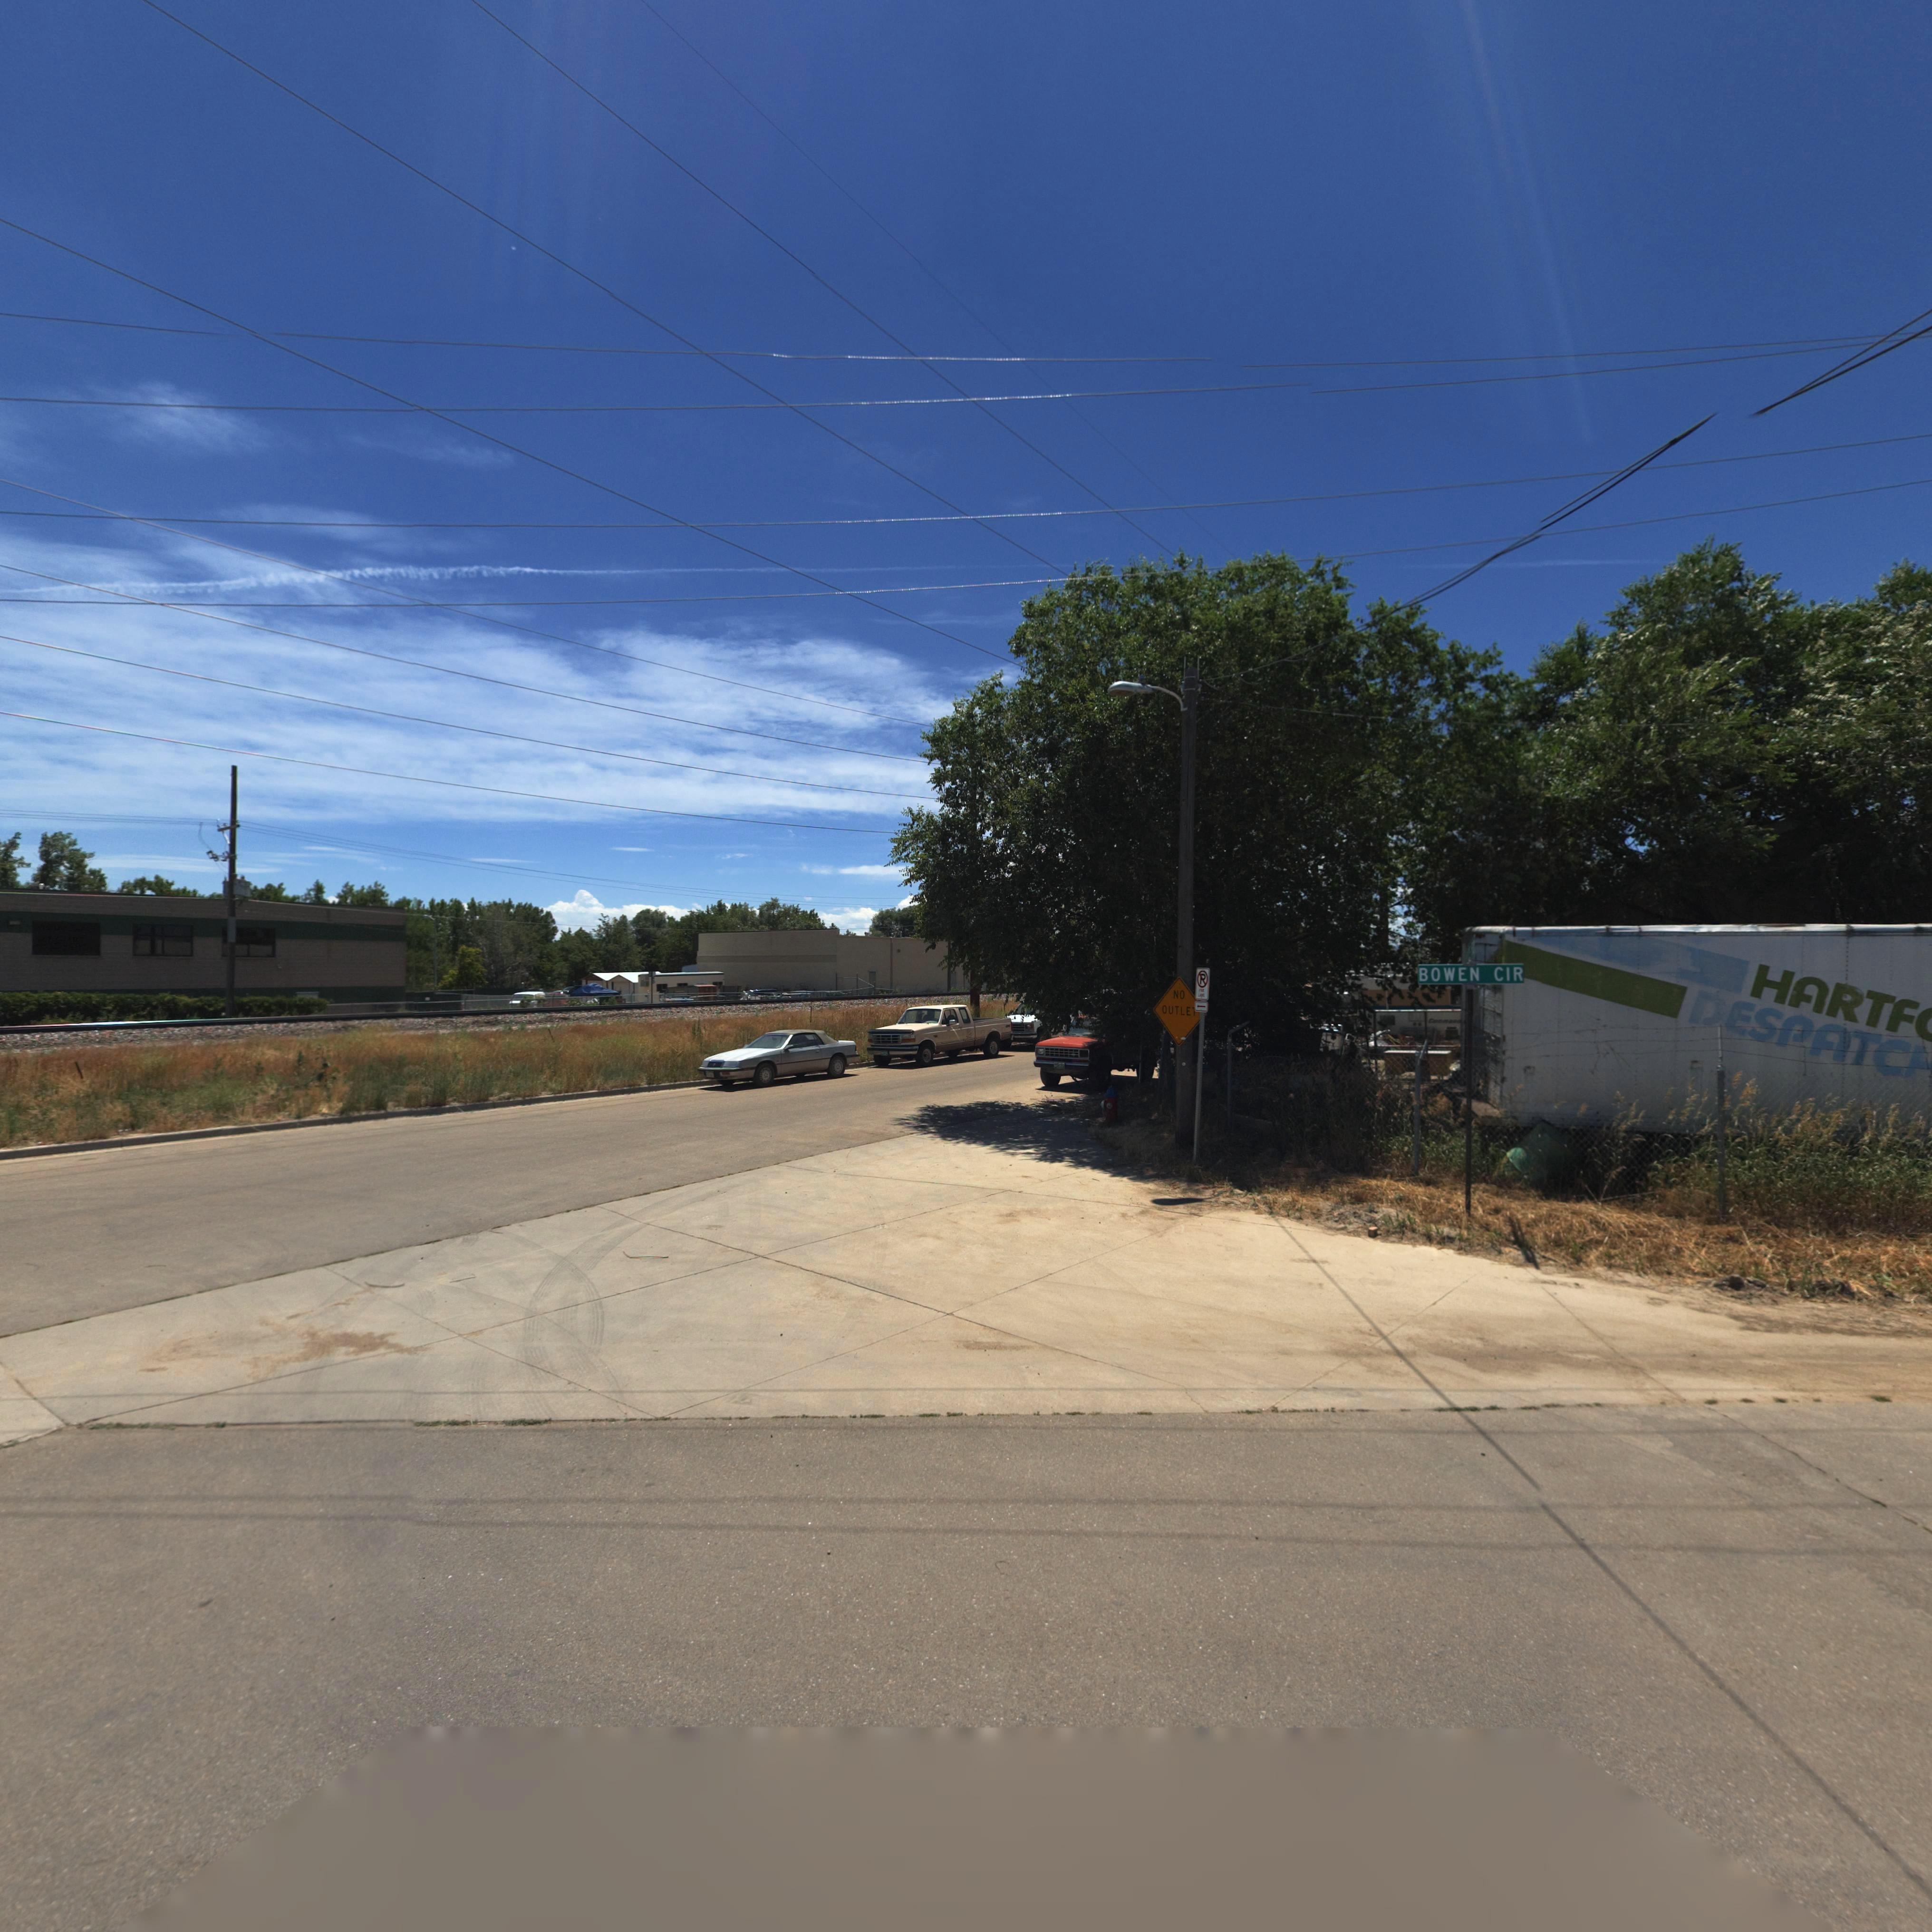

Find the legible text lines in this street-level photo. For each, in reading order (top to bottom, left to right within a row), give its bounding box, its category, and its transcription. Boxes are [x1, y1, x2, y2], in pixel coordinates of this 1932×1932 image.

[1419, 966, 1523, 981] StreetName: BOWEN CIR